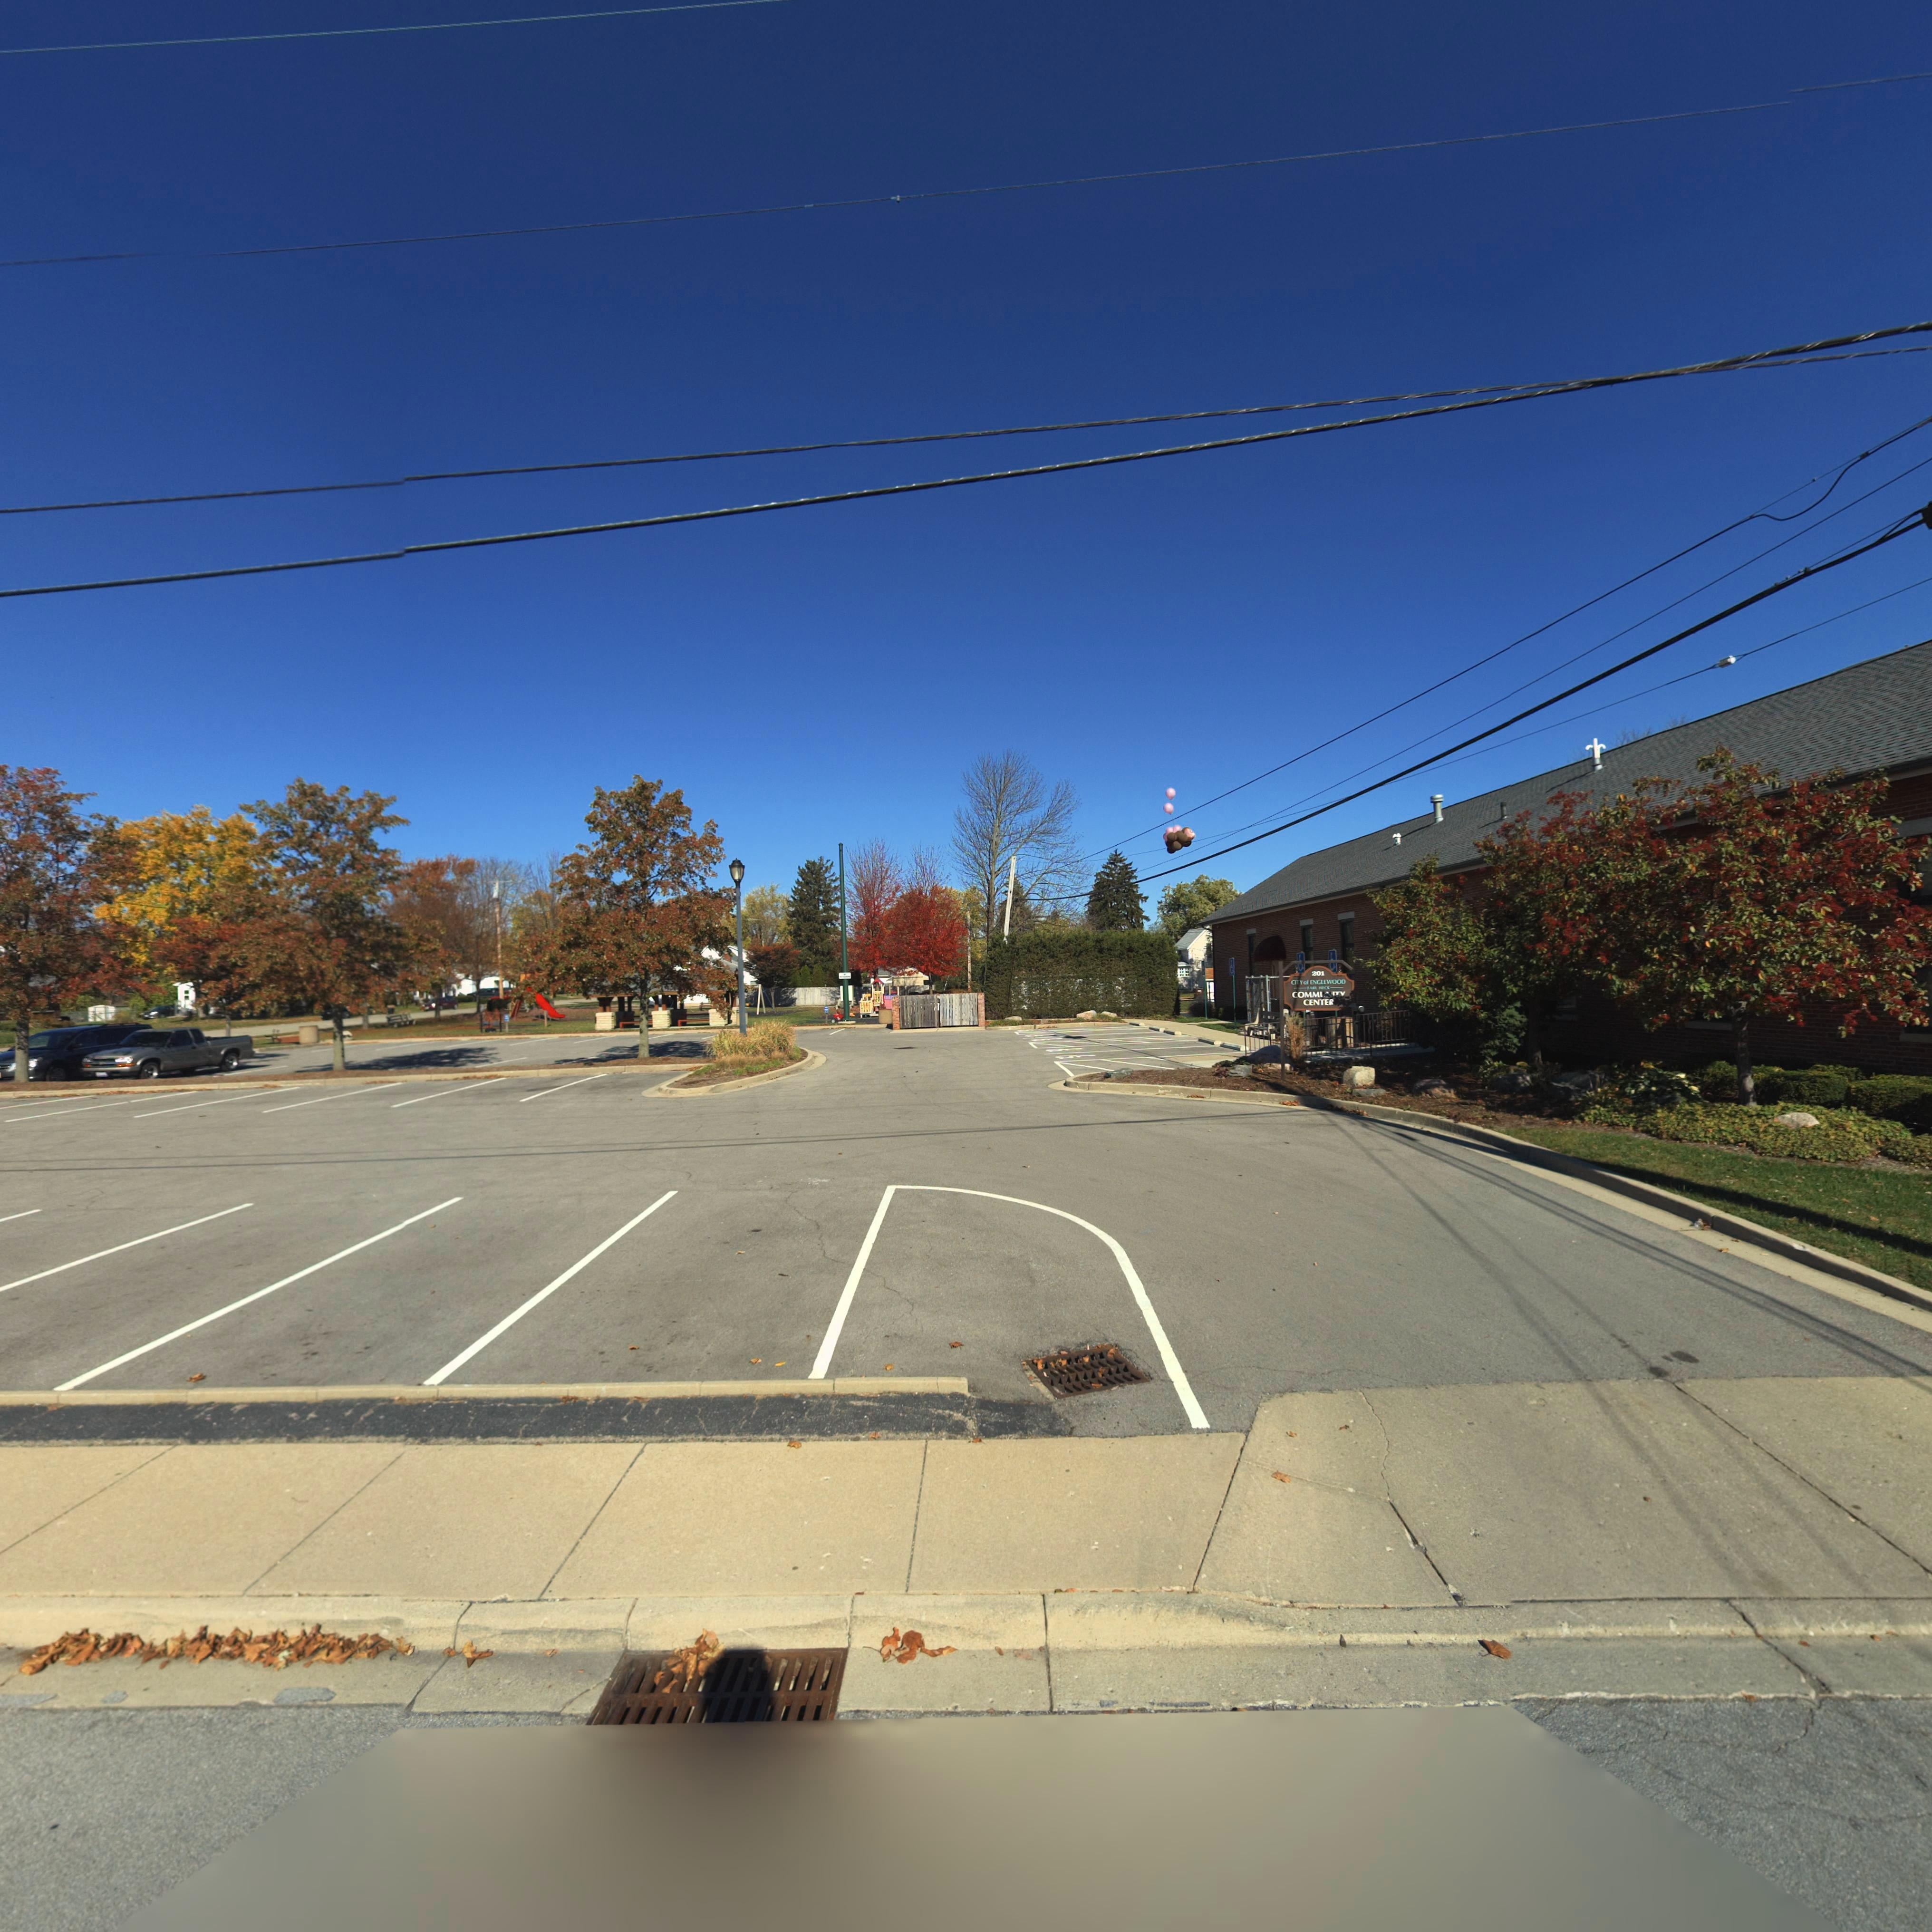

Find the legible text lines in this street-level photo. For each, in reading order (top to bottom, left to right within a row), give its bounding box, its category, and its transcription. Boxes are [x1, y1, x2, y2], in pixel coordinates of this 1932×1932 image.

[1311, 970, 1325, 976] StreetNumber: 201
[1290, 979, 1347, 985] None: CITY of ENGLEWOOD
[1291, 990, 1347, 999] None: COMMUNITY
[1303, 998, 1335, 1006] None: CENTER